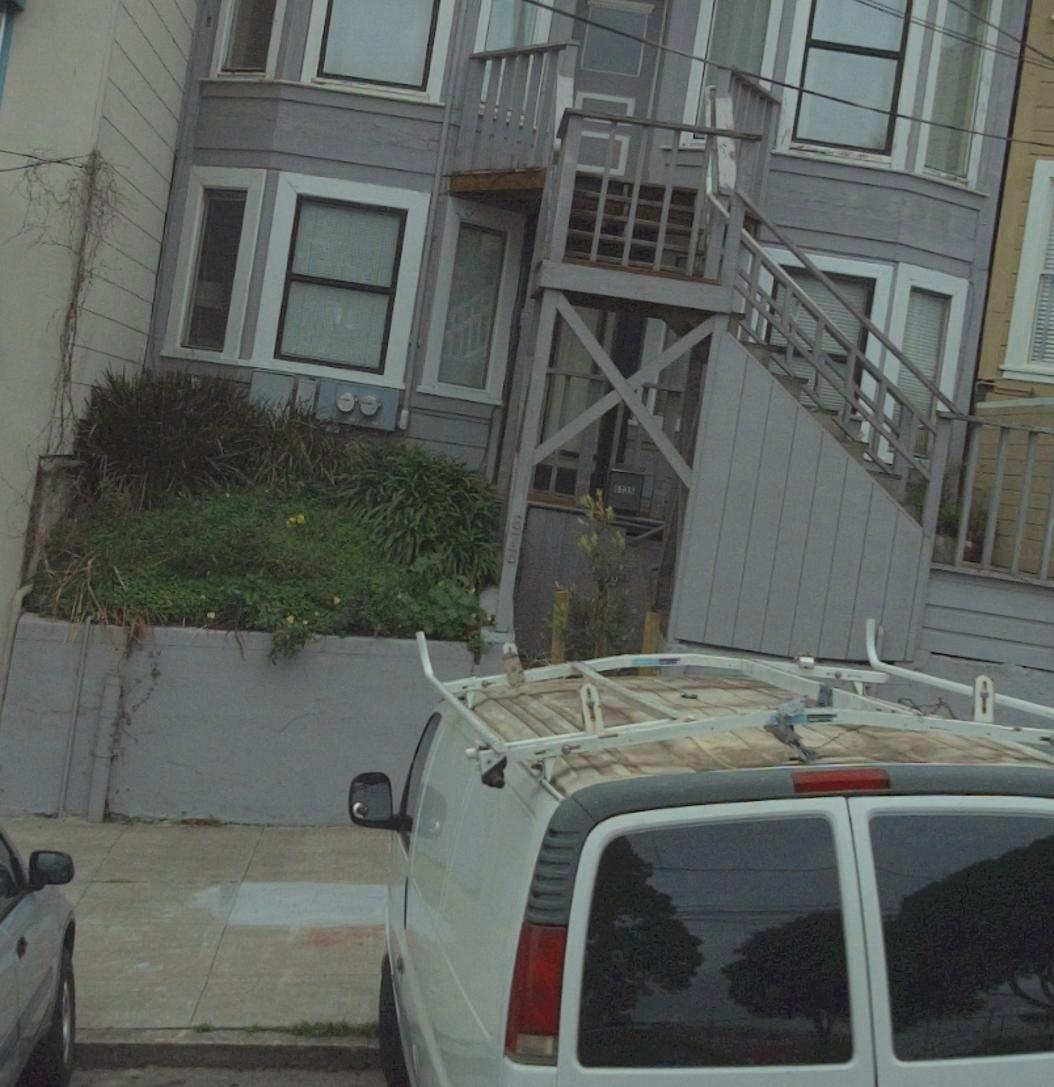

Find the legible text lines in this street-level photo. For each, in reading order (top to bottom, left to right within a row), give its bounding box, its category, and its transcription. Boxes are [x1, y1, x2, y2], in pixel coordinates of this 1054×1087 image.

[505, 513, 525, 567] StreetNumber: 673